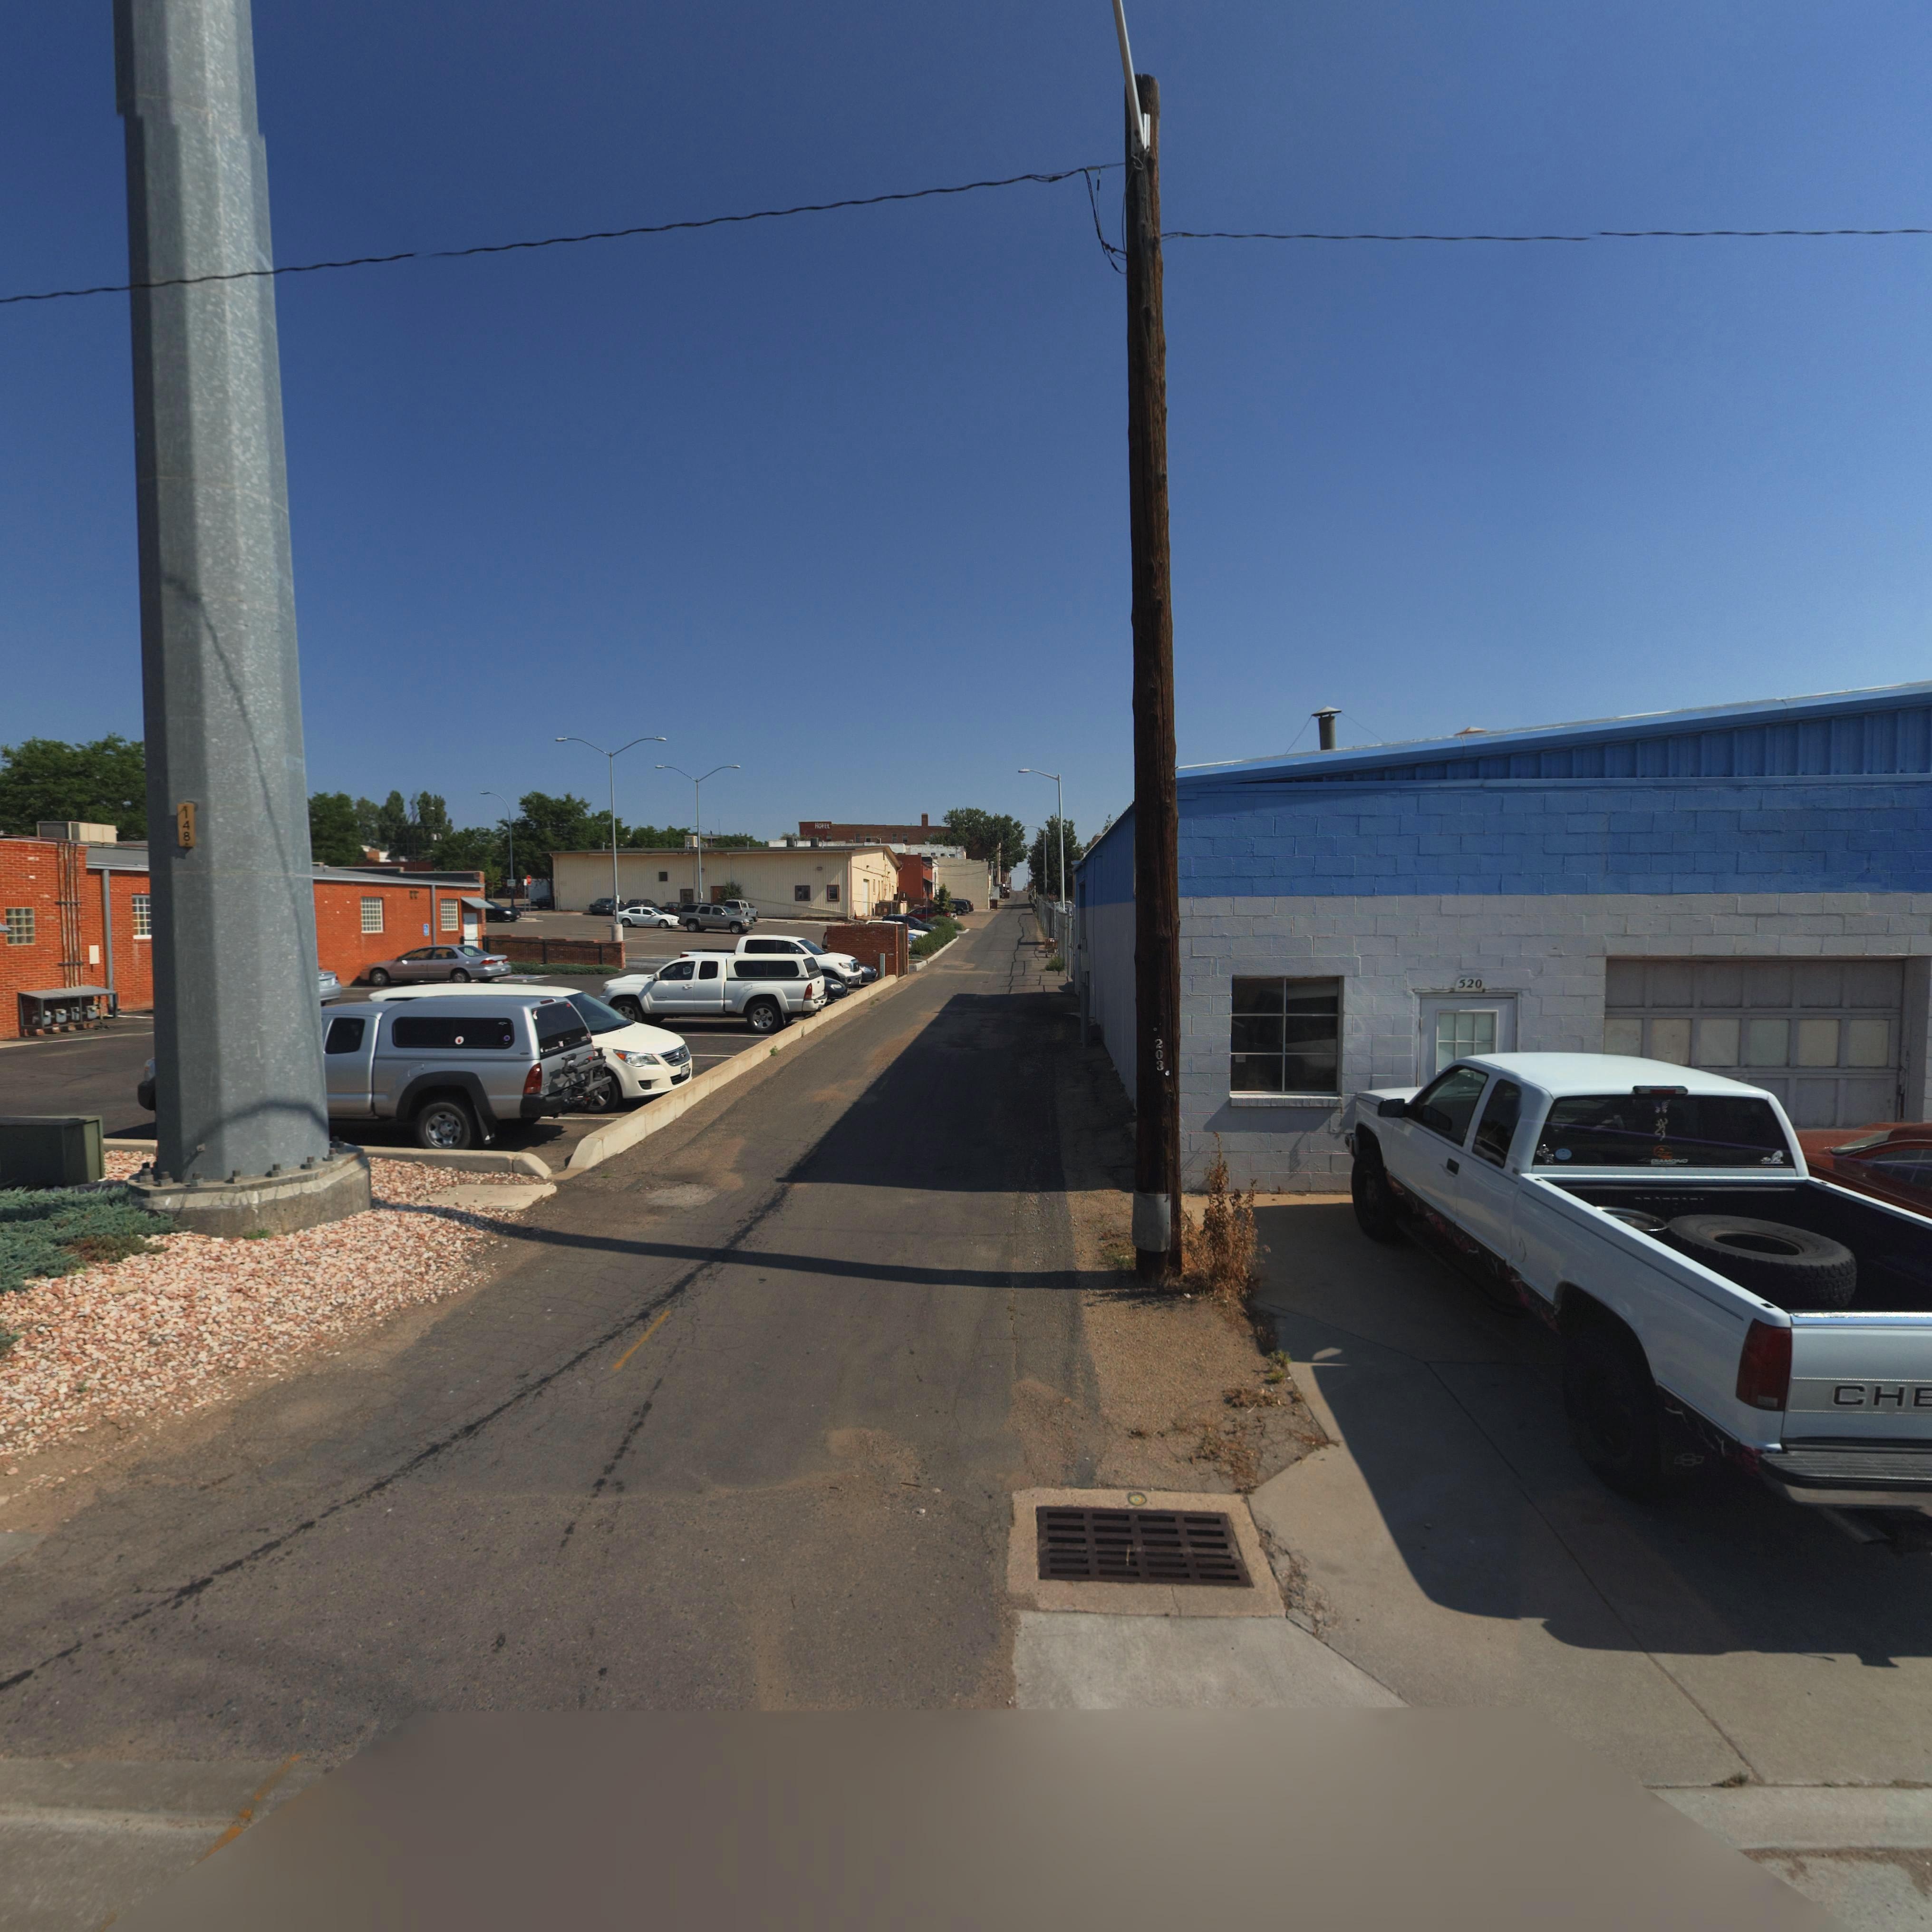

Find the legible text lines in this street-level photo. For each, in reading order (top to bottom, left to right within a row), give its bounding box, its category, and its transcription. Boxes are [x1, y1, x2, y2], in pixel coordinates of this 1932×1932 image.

[1457, 978, 1482, 988] StreetNumber: 520